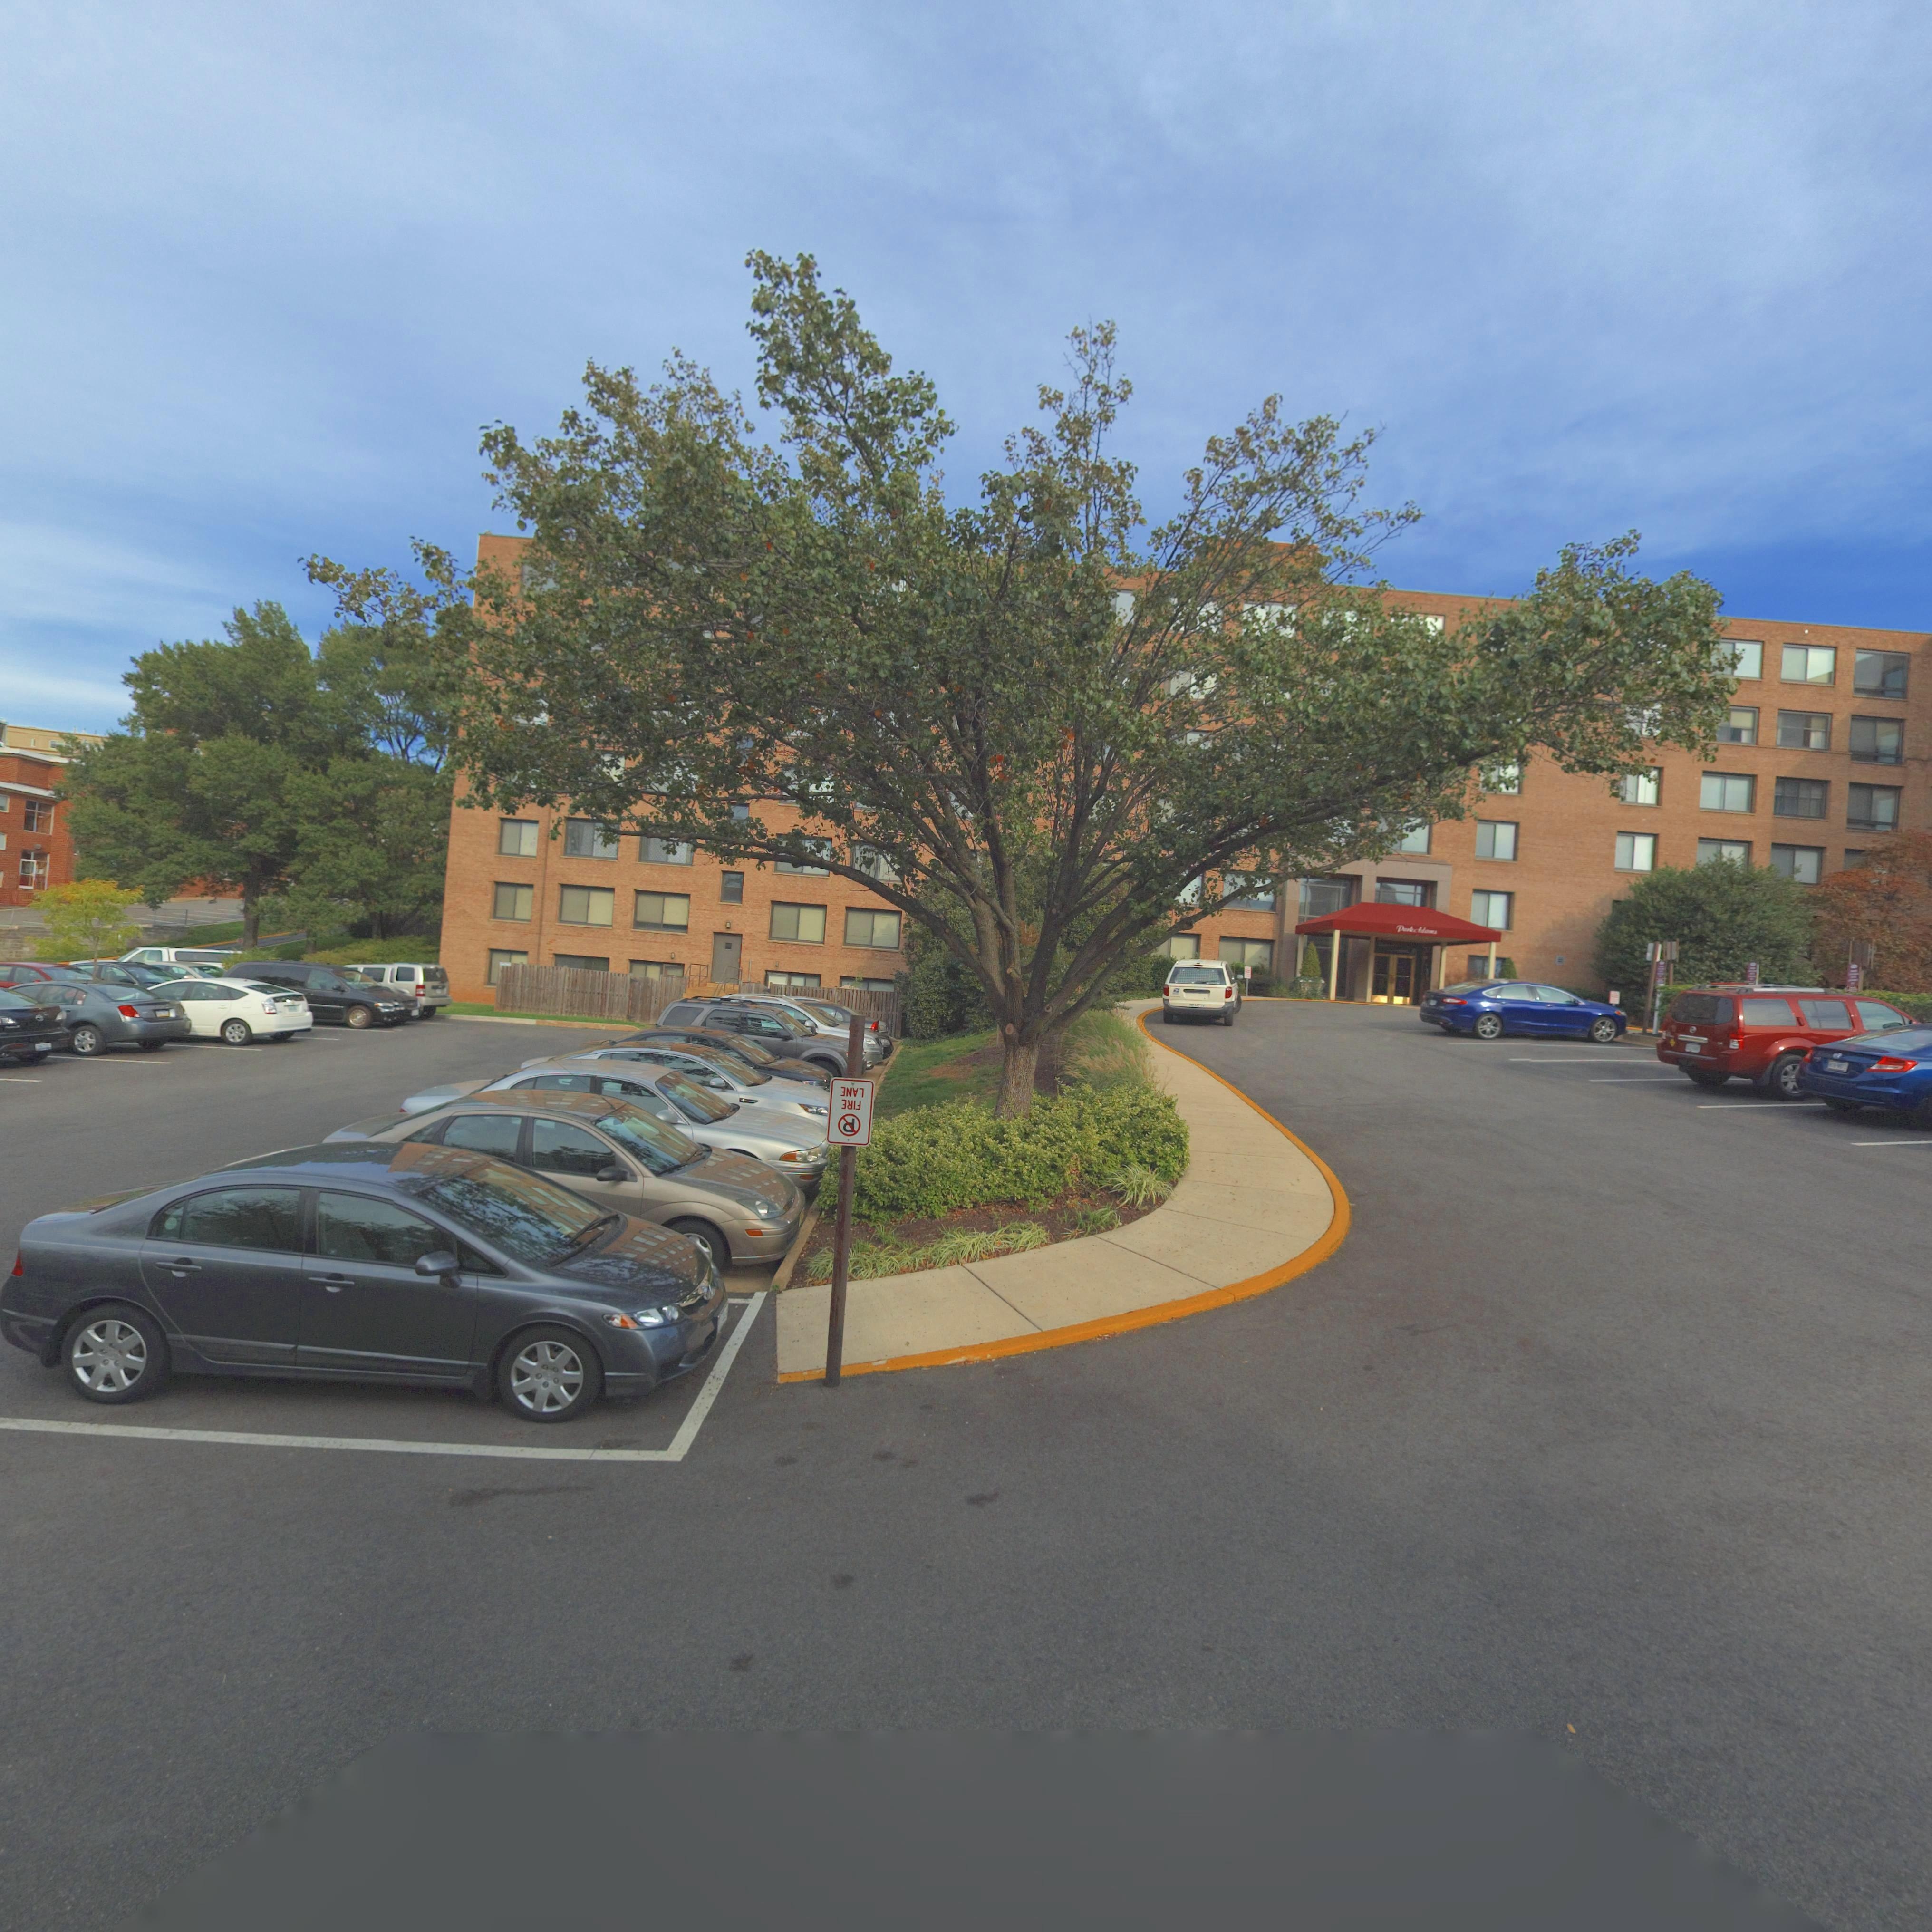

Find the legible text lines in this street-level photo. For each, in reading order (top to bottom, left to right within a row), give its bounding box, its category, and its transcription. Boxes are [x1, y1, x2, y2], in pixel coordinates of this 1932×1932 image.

[1394, 923, 1439, 936] BusinessName: Park *da*s
[840, 1086, 865, 1098] None: *N**
[841, 1098, 861, 1111] None: **I*